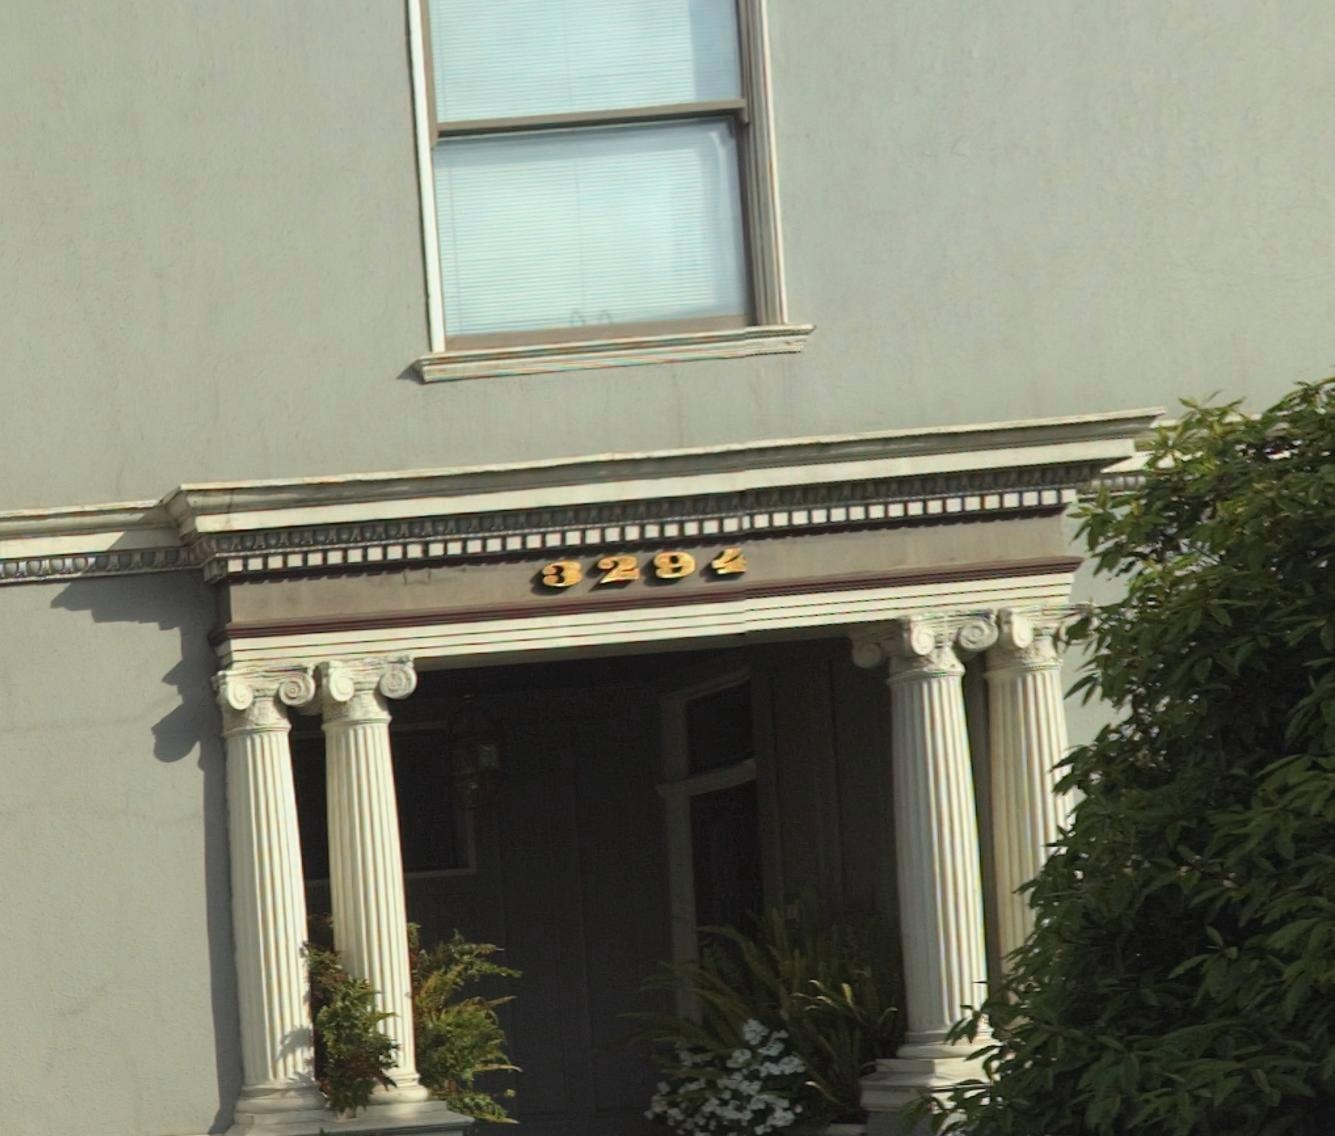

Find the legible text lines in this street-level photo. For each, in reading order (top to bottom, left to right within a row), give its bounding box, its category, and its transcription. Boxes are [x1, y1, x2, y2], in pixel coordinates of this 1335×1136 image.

[537, 543, 751, 592] StreetNumber: 3294